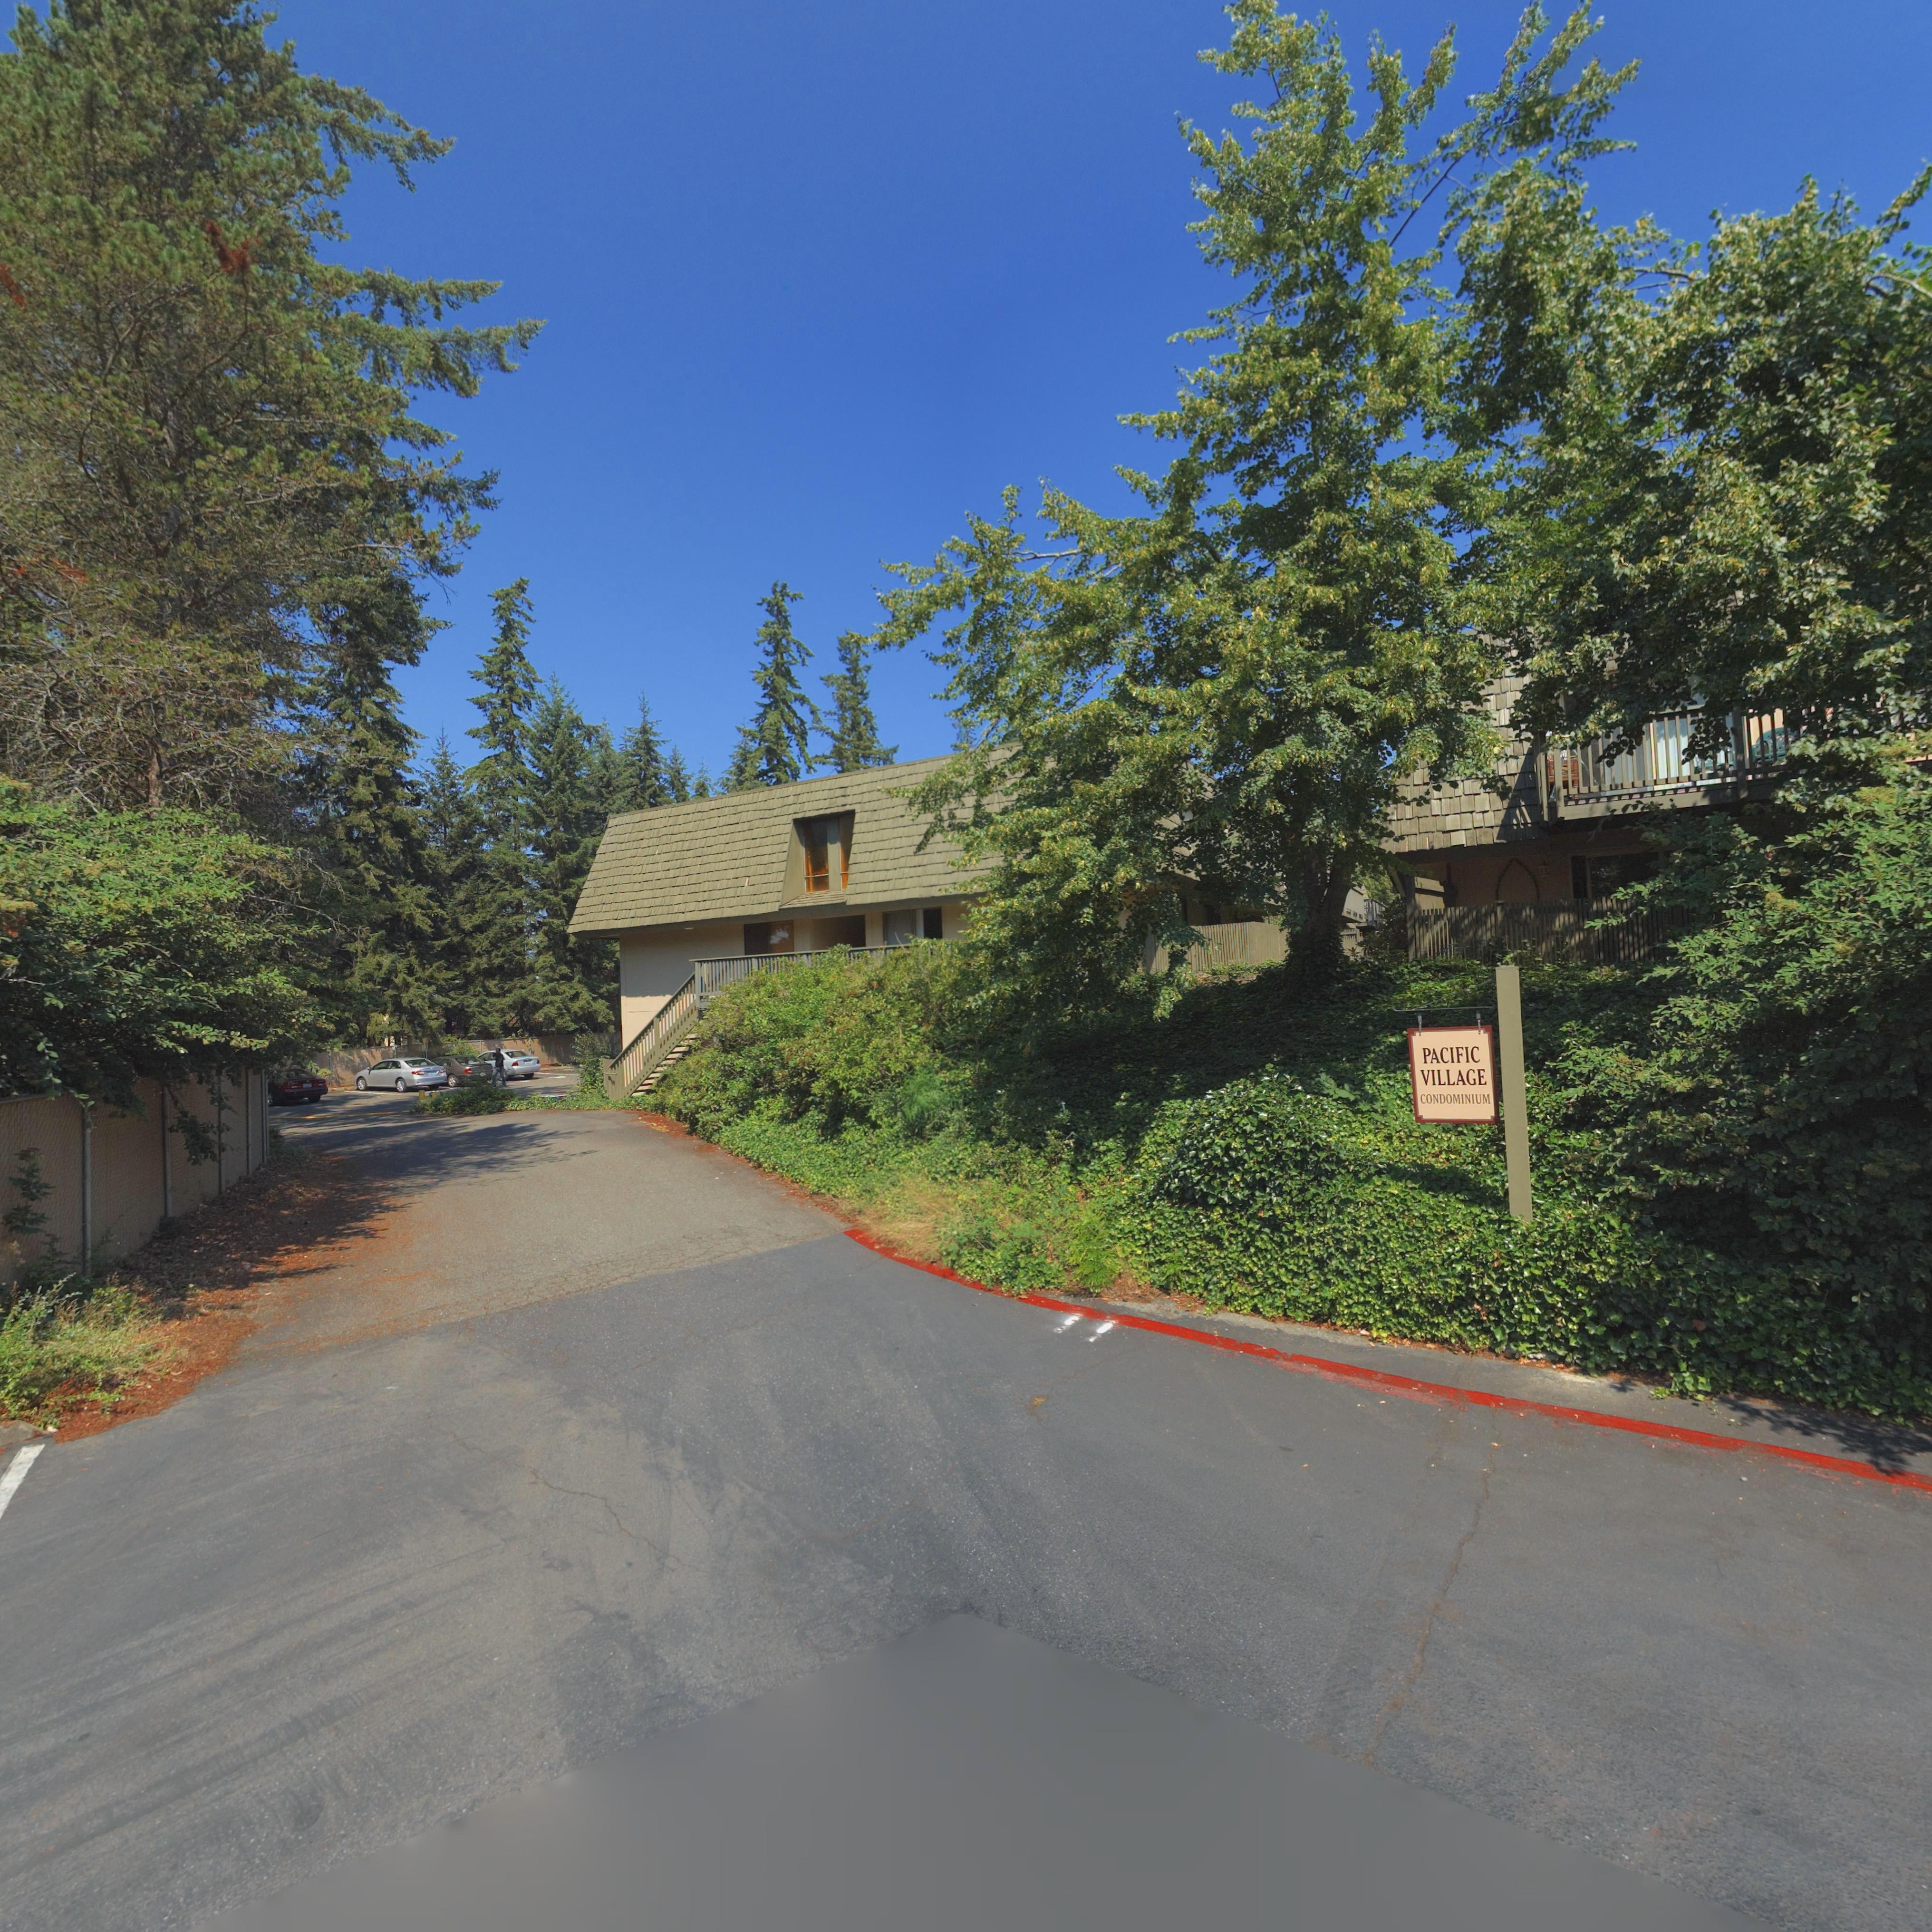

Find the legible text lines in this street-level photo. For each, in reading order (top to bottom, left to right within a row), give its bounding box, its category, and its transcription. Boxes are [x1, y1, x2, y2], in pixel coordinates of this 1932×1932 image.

[1422, 1045, 1480, 1064] None: PACIFIC
[1420, 1069, 1486, 1085] BusinessName: VILLAGE
[1420, 1092, 1490, 1104] None: CONDOMINIUM